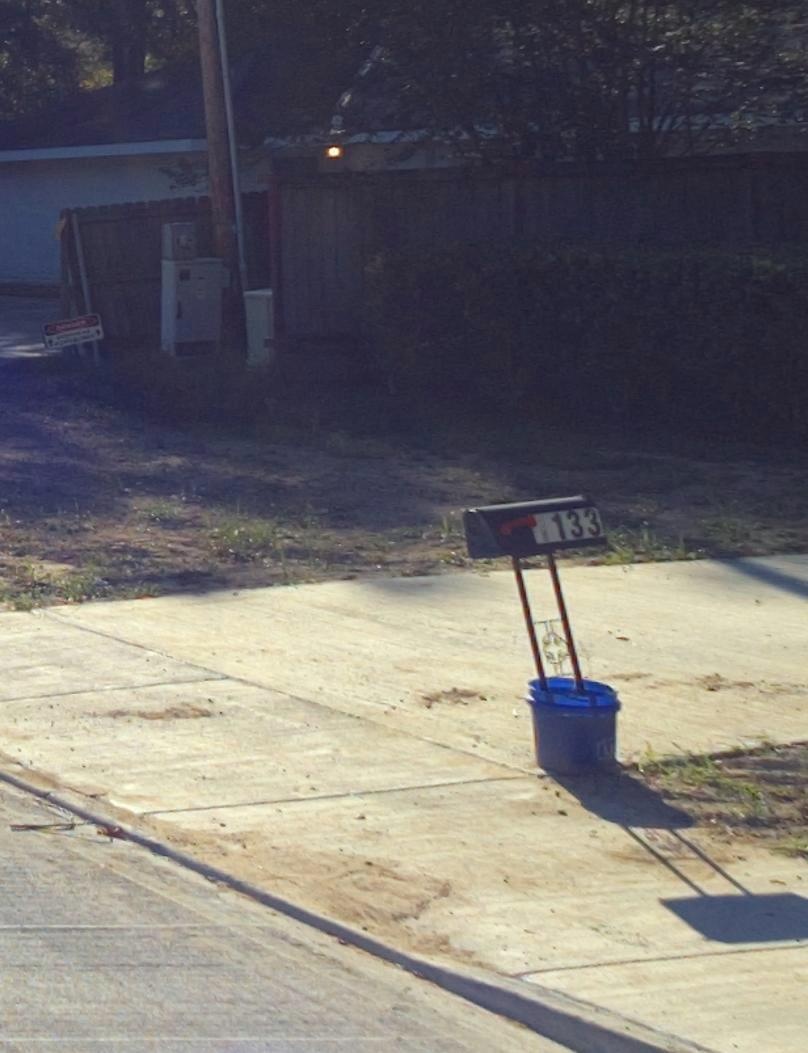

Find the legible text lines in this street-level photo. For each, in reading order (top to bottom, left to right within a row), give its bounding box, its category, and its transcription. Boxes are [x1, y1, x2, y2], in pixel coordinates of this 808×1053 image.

[535, 506, 602, 543] StreetNumber: 1133